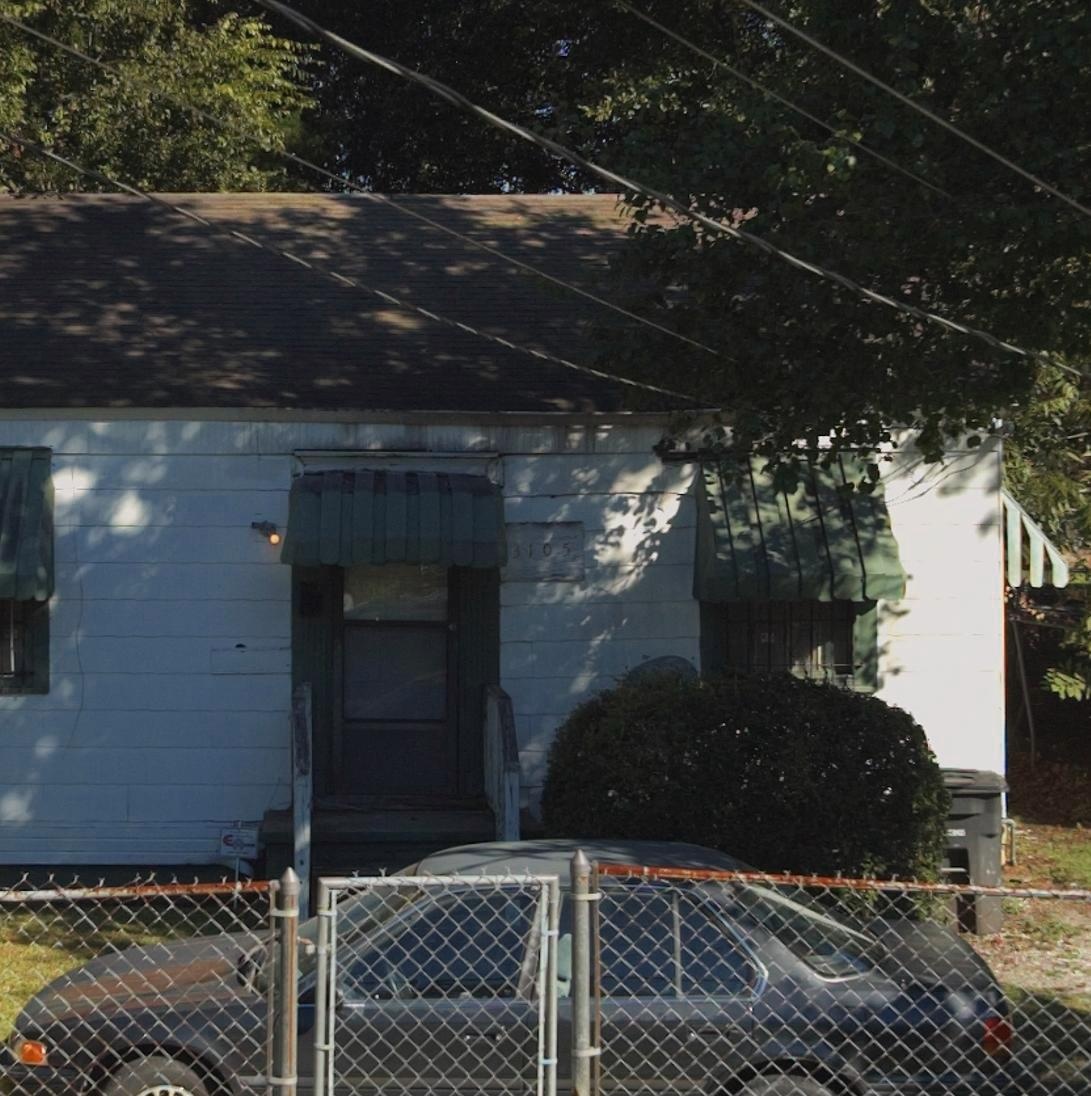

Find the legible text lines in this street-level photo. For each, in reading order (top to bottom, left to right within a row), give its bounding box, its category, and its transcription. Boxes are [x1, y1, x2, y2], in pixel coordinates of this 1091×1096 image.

[510, 541, 573, 560] StreetNumber: 3105